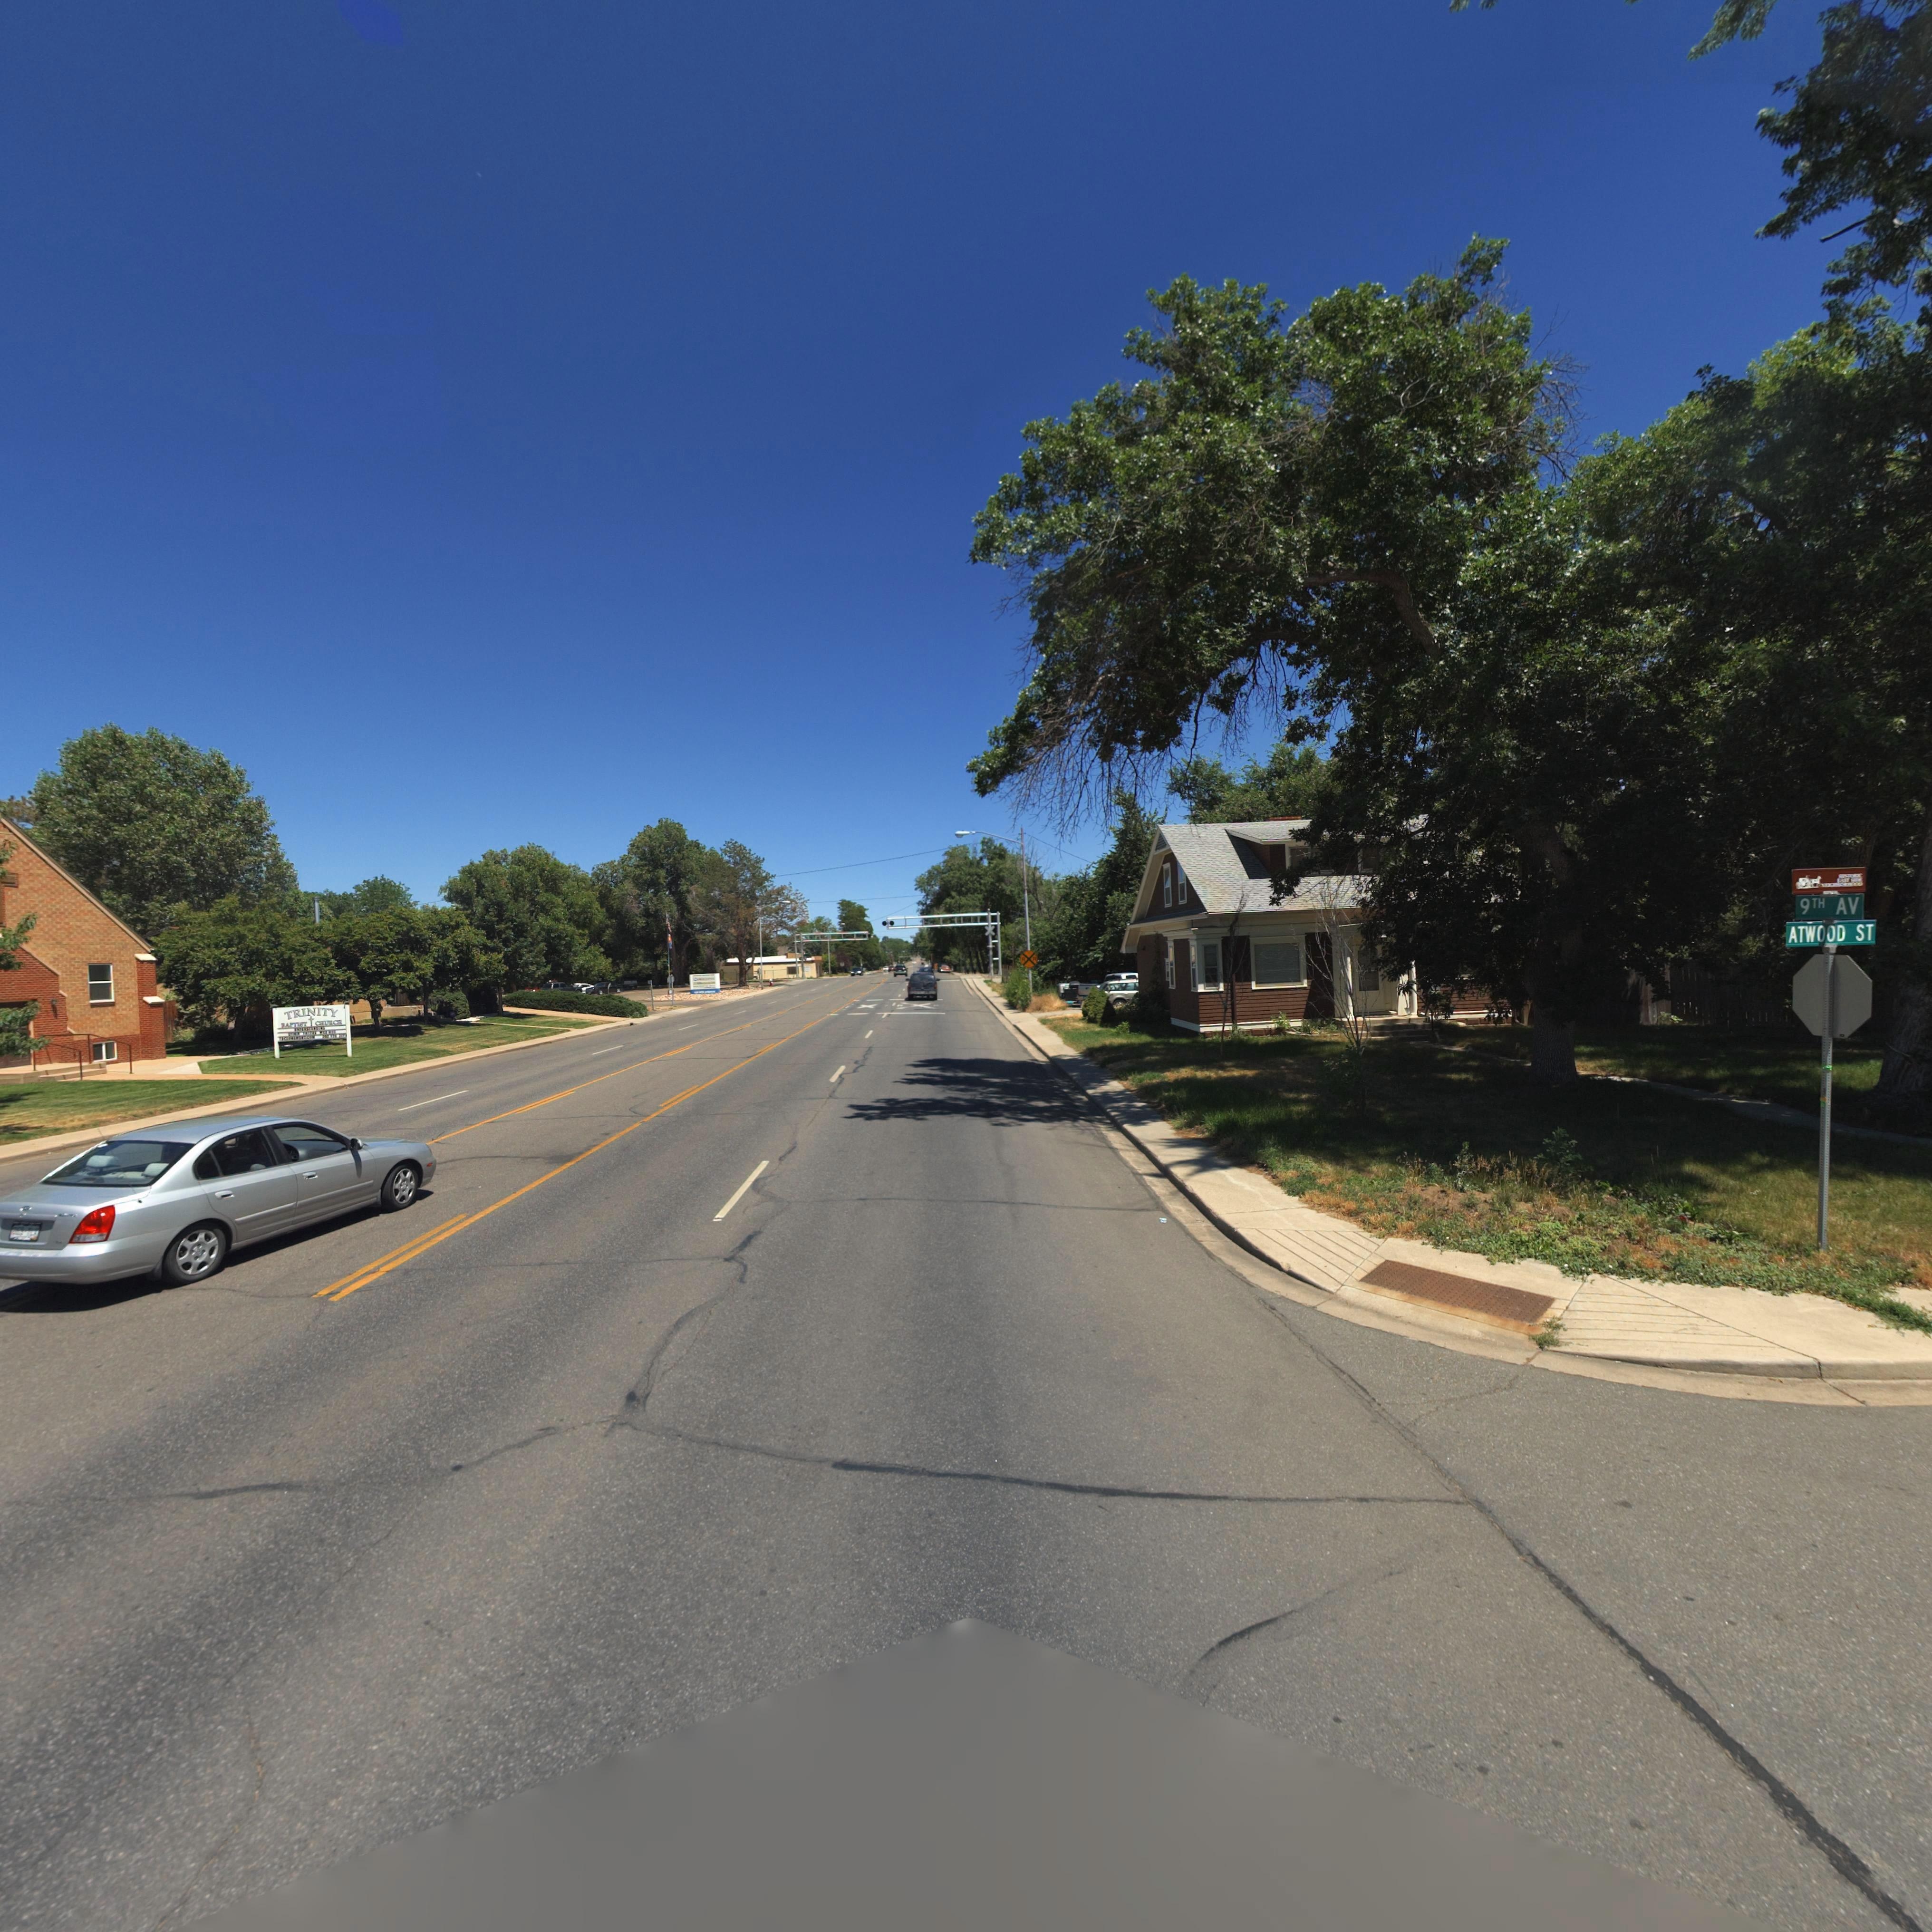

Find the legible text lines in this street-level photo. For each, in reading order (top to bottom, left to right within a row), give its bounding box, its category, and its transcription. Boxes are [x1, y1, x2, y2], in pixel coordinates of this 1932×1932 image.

[1799, 896, 1860, 915] StreetName: 9TH AV
[1787, 923, 1874, 943] StreetName: ATWOOD ST
[283, 1006, 339, 1020] BusinessName: TRINITY 
[280, 1019, 342, 1028] BusinessName: BAPTIST * CHURCH 